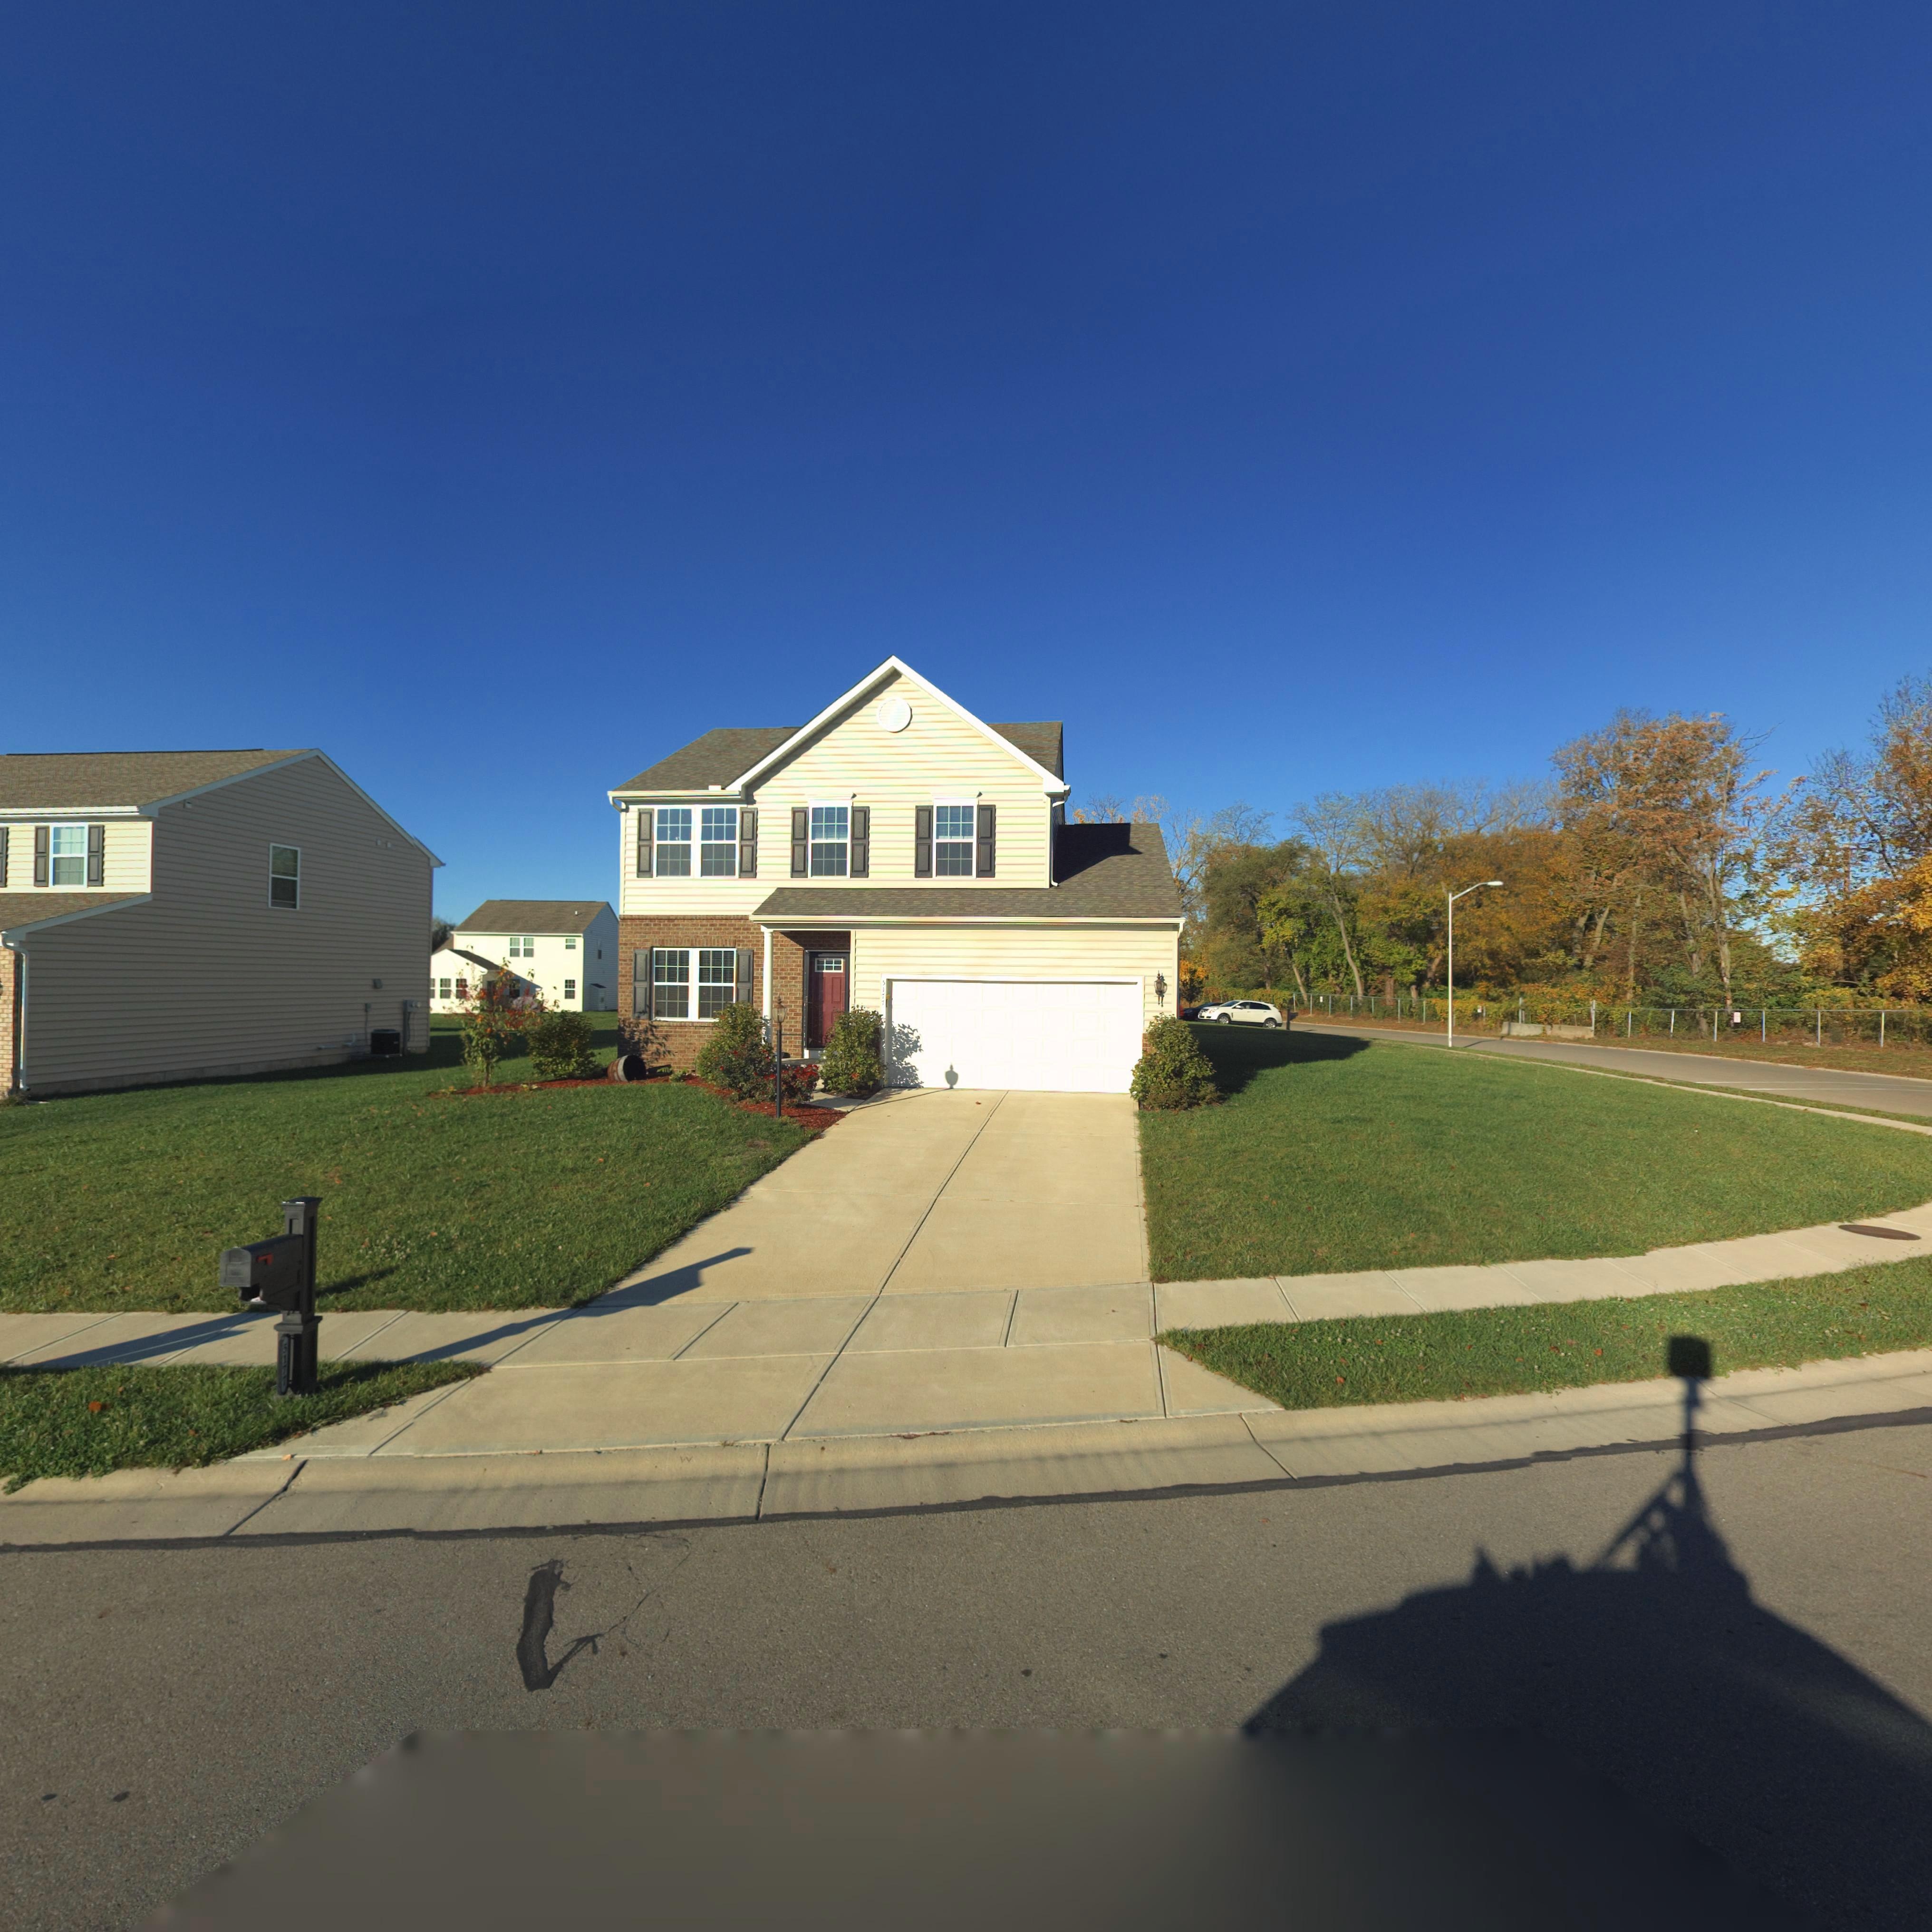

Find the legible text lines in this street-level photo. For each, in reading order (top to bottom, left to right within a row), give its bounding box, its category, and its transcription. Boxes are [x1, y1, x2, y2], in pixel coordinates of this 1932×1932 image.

[880, 979, 887, 1007] StreetNumber: 5177